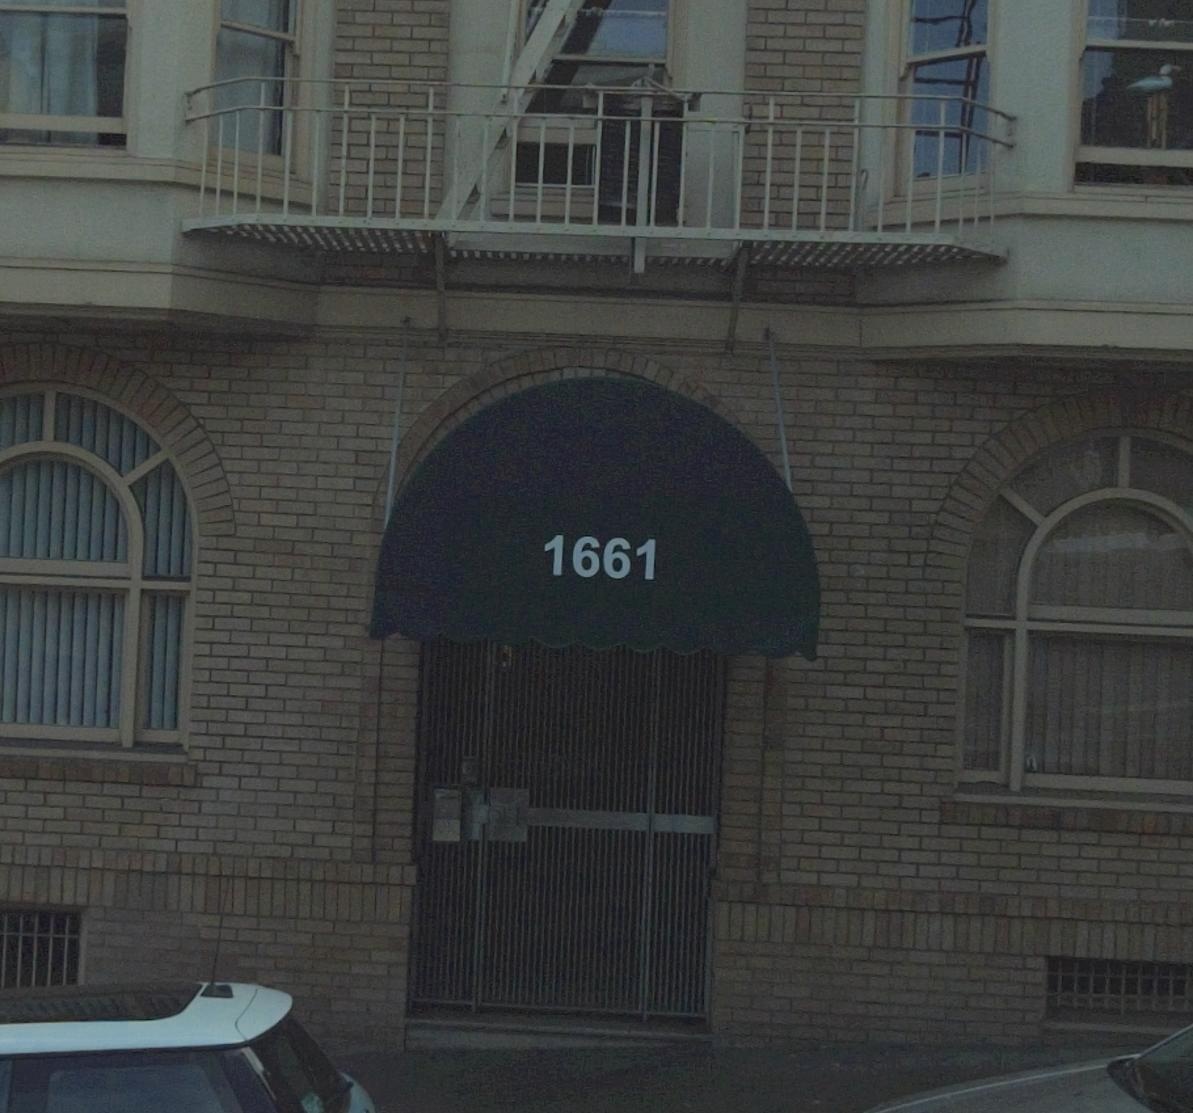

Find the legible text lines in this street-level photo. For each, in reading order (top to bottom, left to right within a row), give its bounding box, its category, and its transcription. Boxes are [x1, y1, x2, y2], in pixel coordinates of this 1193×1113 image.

[541, 530, 659, 584] StreetNumber: 1661